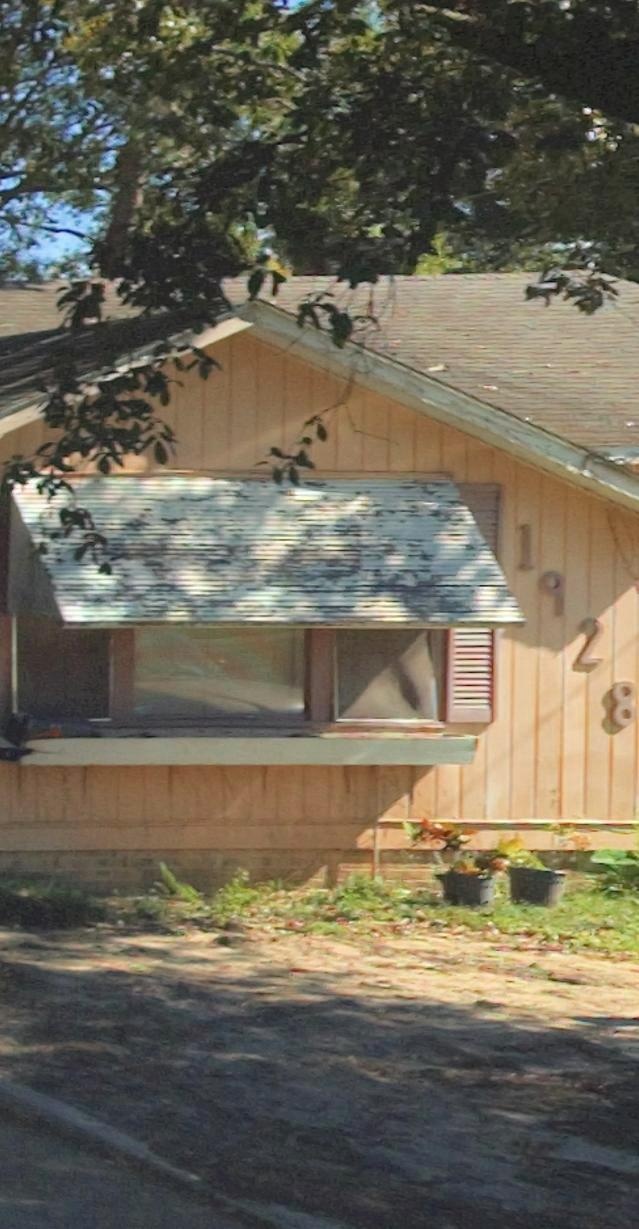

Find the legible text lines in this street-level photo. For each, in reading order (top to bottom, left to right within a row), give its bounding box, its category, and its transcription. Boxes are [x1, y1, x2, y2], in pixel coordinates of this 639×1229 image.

[512, 519, 638, 727] StreetNumber: 1928